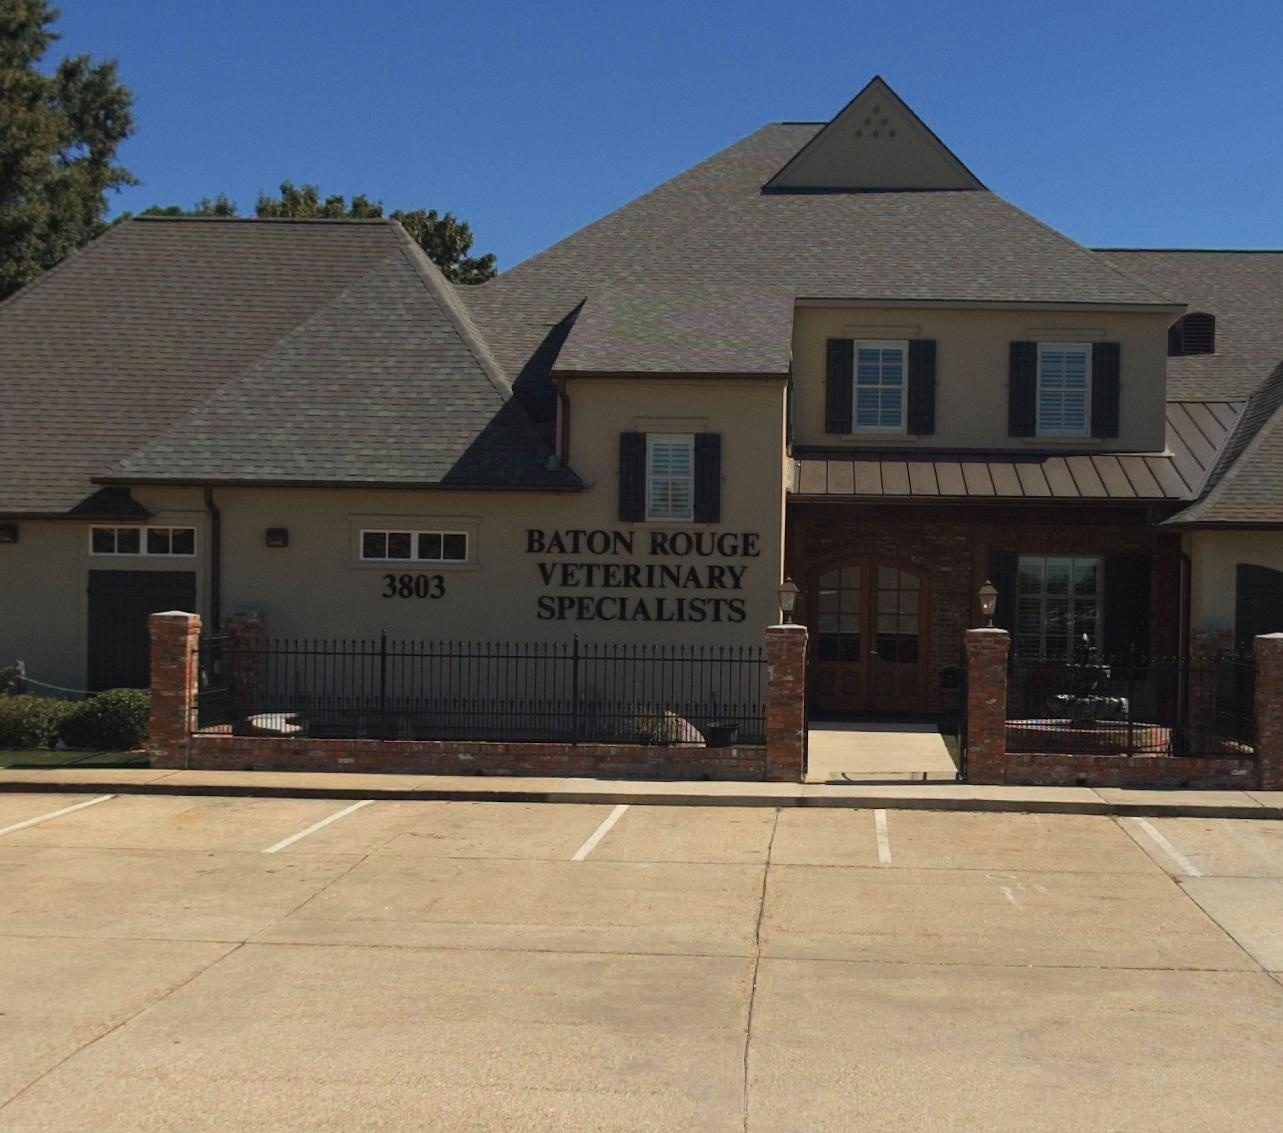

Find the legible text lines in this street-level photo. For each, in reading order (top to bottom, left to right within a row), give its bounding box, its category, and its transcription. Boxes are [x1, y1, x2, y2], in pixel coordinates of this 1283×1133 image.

[522, 526, 762, 559] BusinessName: BATON ROUGE
[380, 571, 448, 601] StreetNumber: 3803
[533, 560, 751, 592] BusinessName: VETERINARY
[535, 593, 749, 625] BusinessName: SPECIALISTS